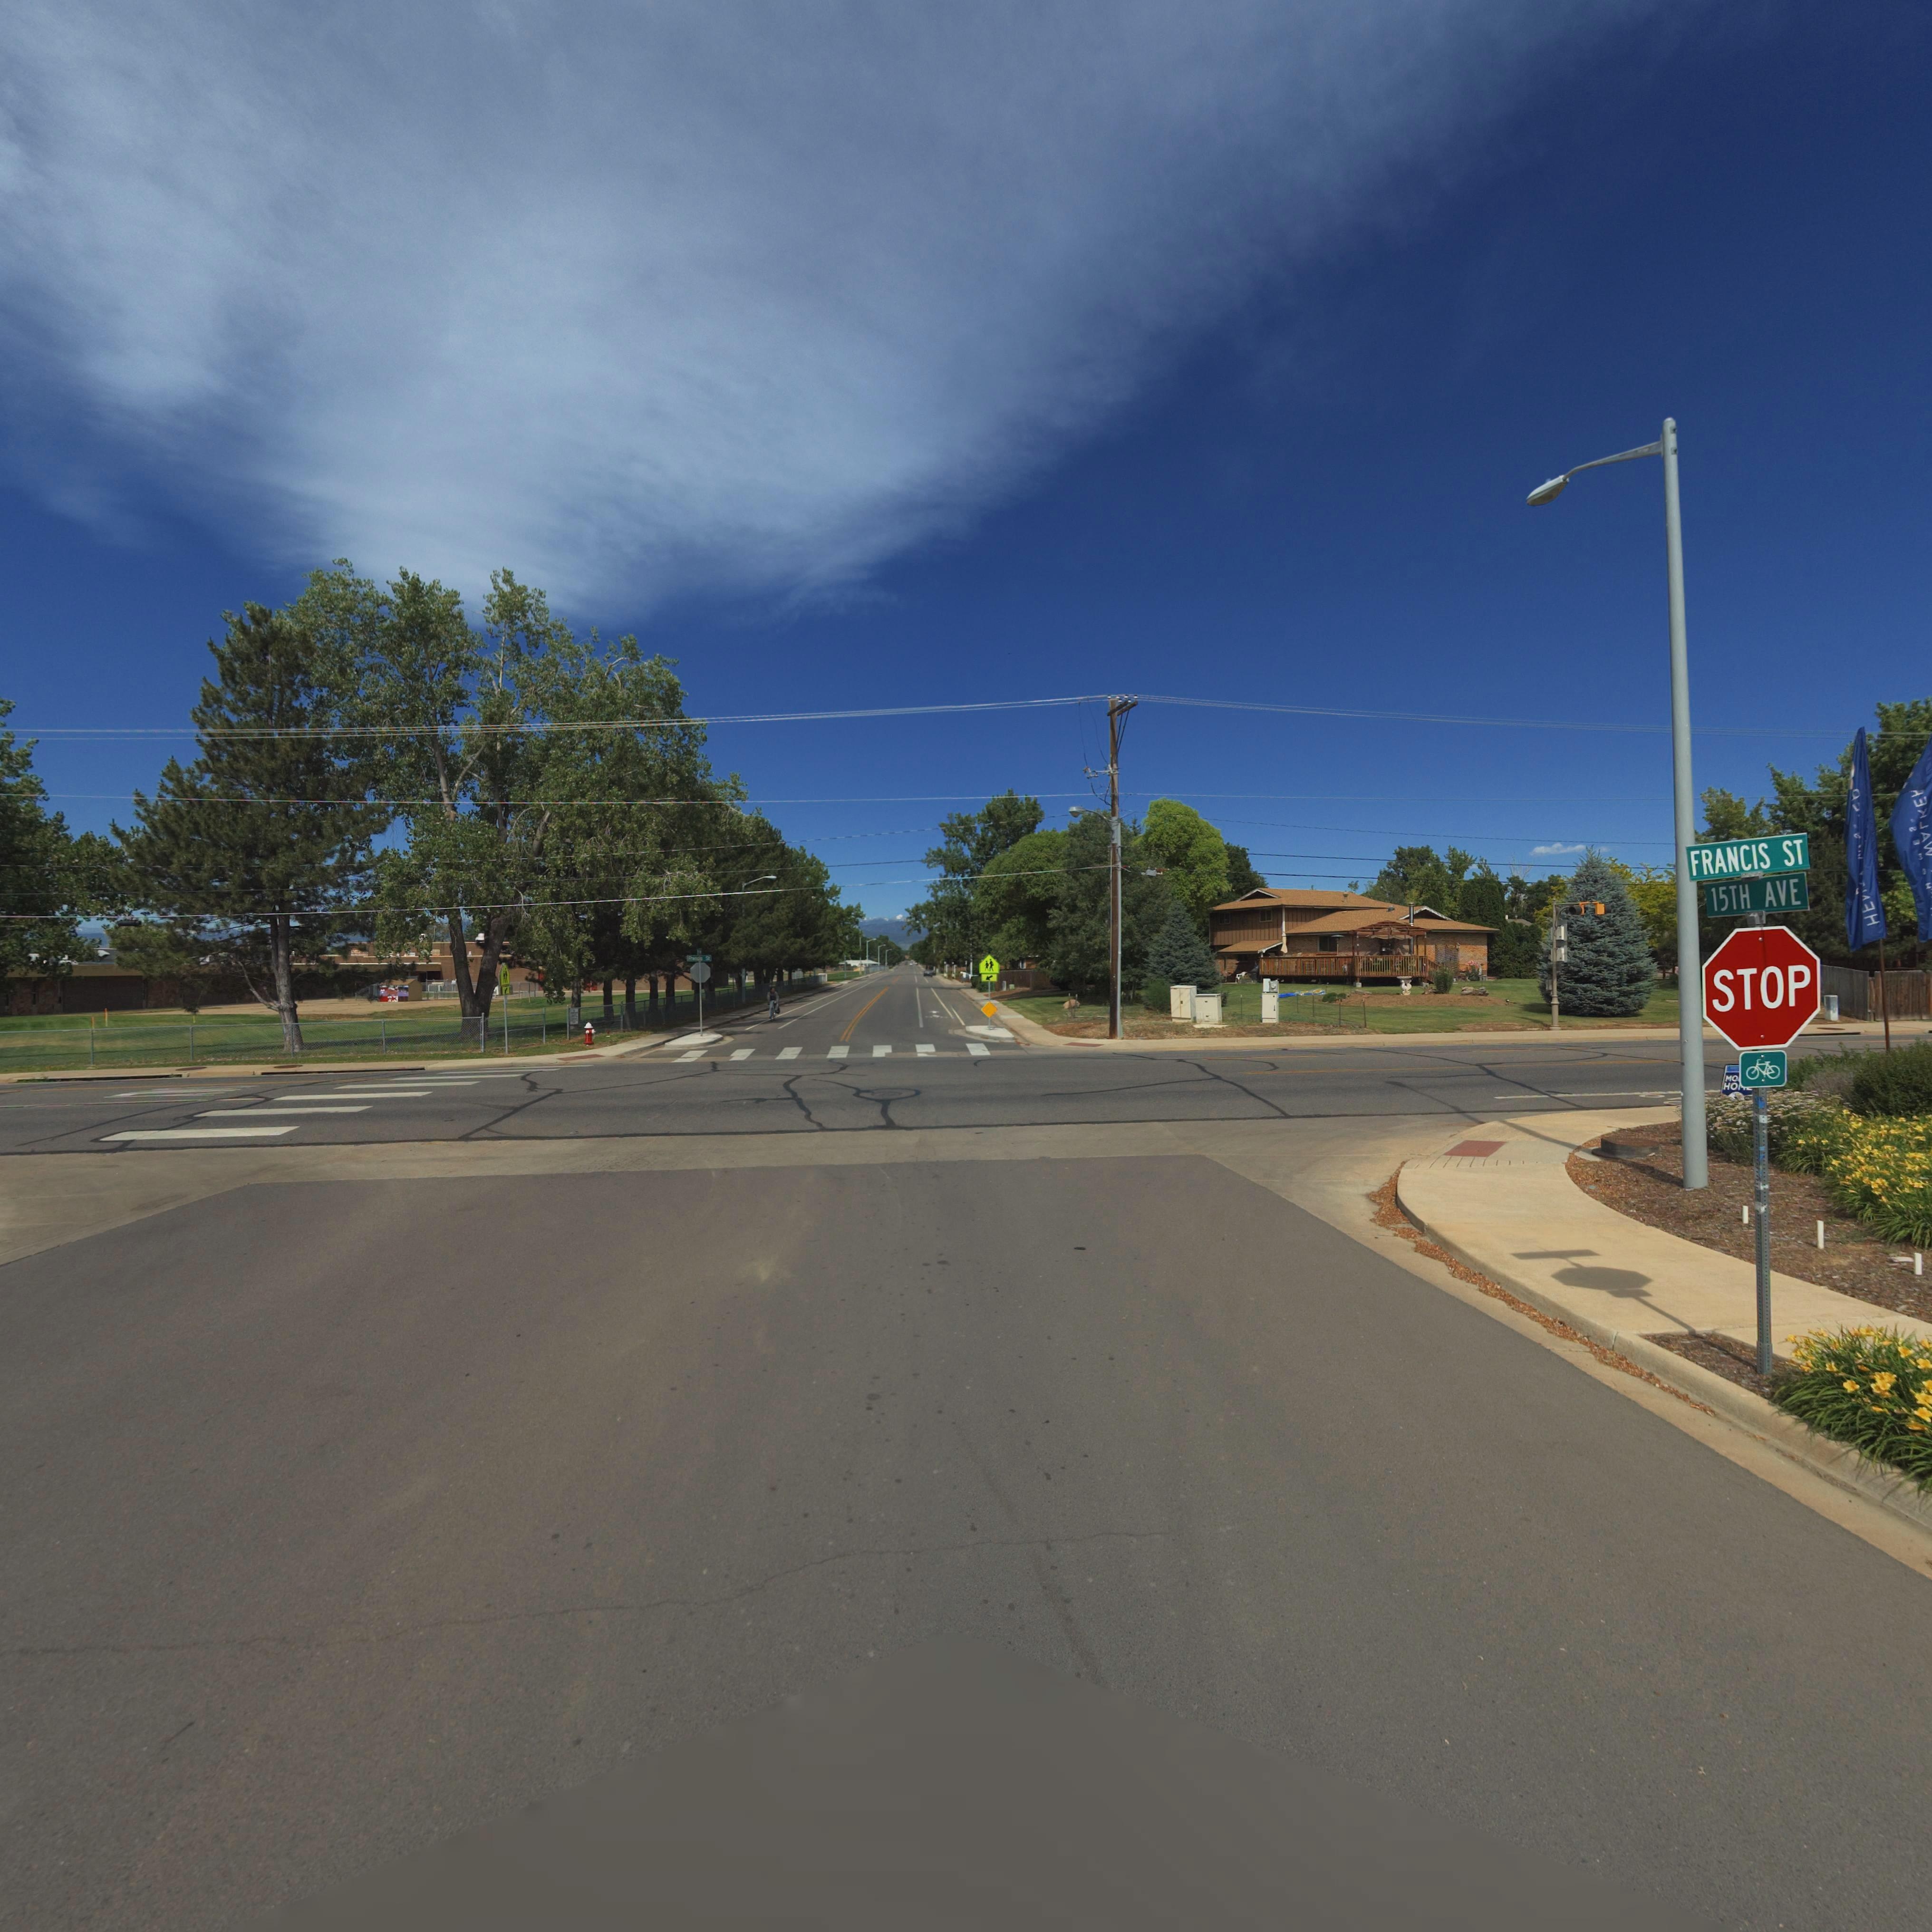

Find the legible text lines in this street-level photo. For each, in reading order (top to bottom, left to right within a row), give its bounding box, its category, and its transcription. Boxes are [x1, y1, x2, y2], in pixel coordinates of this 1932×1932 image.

[1689, 838, 1804, 877] StreetName: FRANCIS ST
[1709, 877, 1801, 912] StreetName: 15TH AVE
[687, 955, 710, 961] StreetName: Francis St